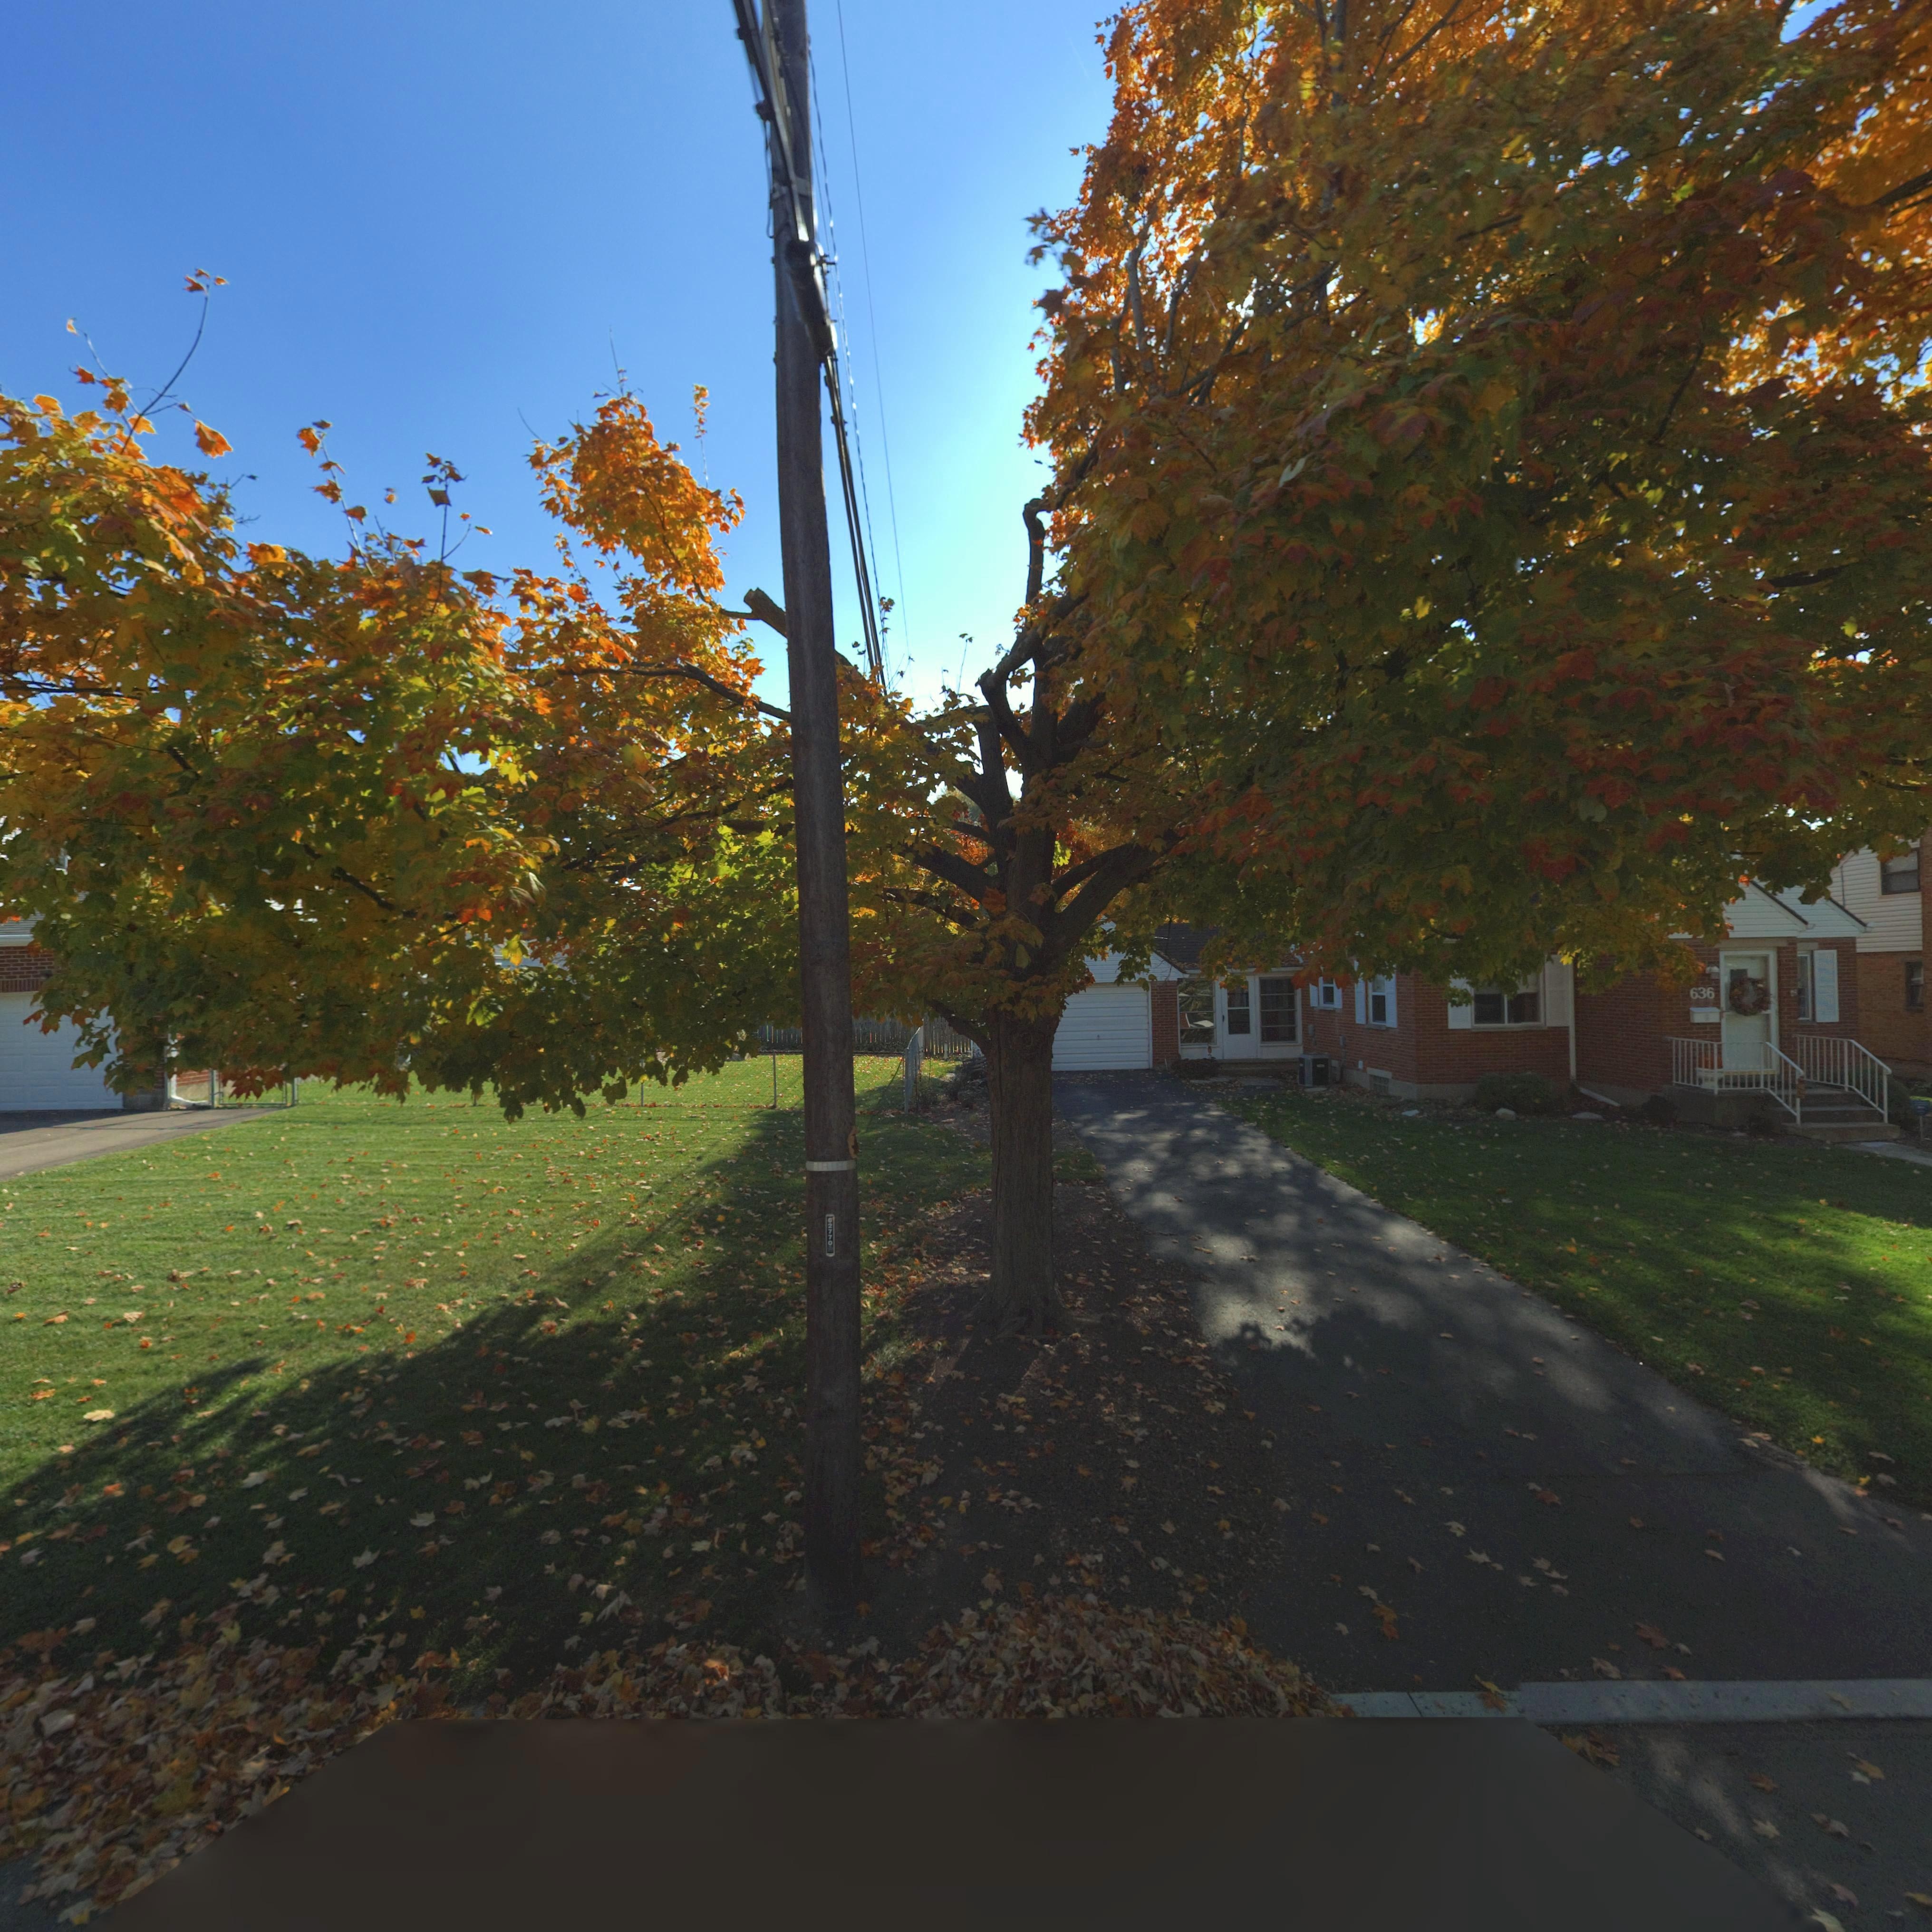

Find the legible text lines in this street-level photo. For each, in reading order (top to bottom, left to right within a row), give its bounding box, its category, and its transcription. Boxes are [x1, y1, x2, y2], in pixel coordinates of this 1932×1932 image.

[1689, 987, 1715, 1000] StreetNumber: 636
[827, 1217, 833, 1246] None: 62770